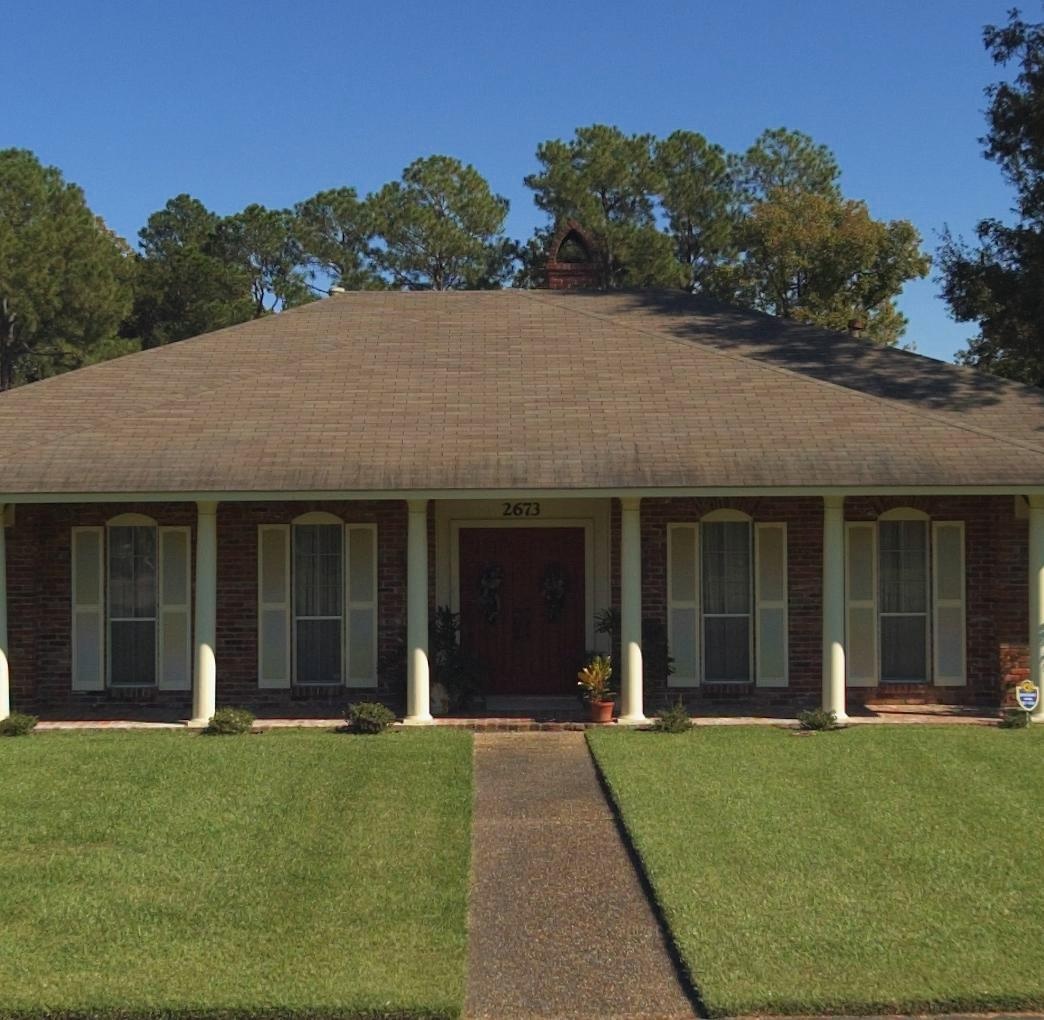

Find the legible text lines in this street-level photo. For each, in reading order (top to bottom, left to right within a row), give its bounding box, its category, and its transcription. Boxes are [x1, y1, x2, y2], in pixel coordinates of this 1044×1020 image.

[501, 500, 542, 518] StreetNumber: 2673